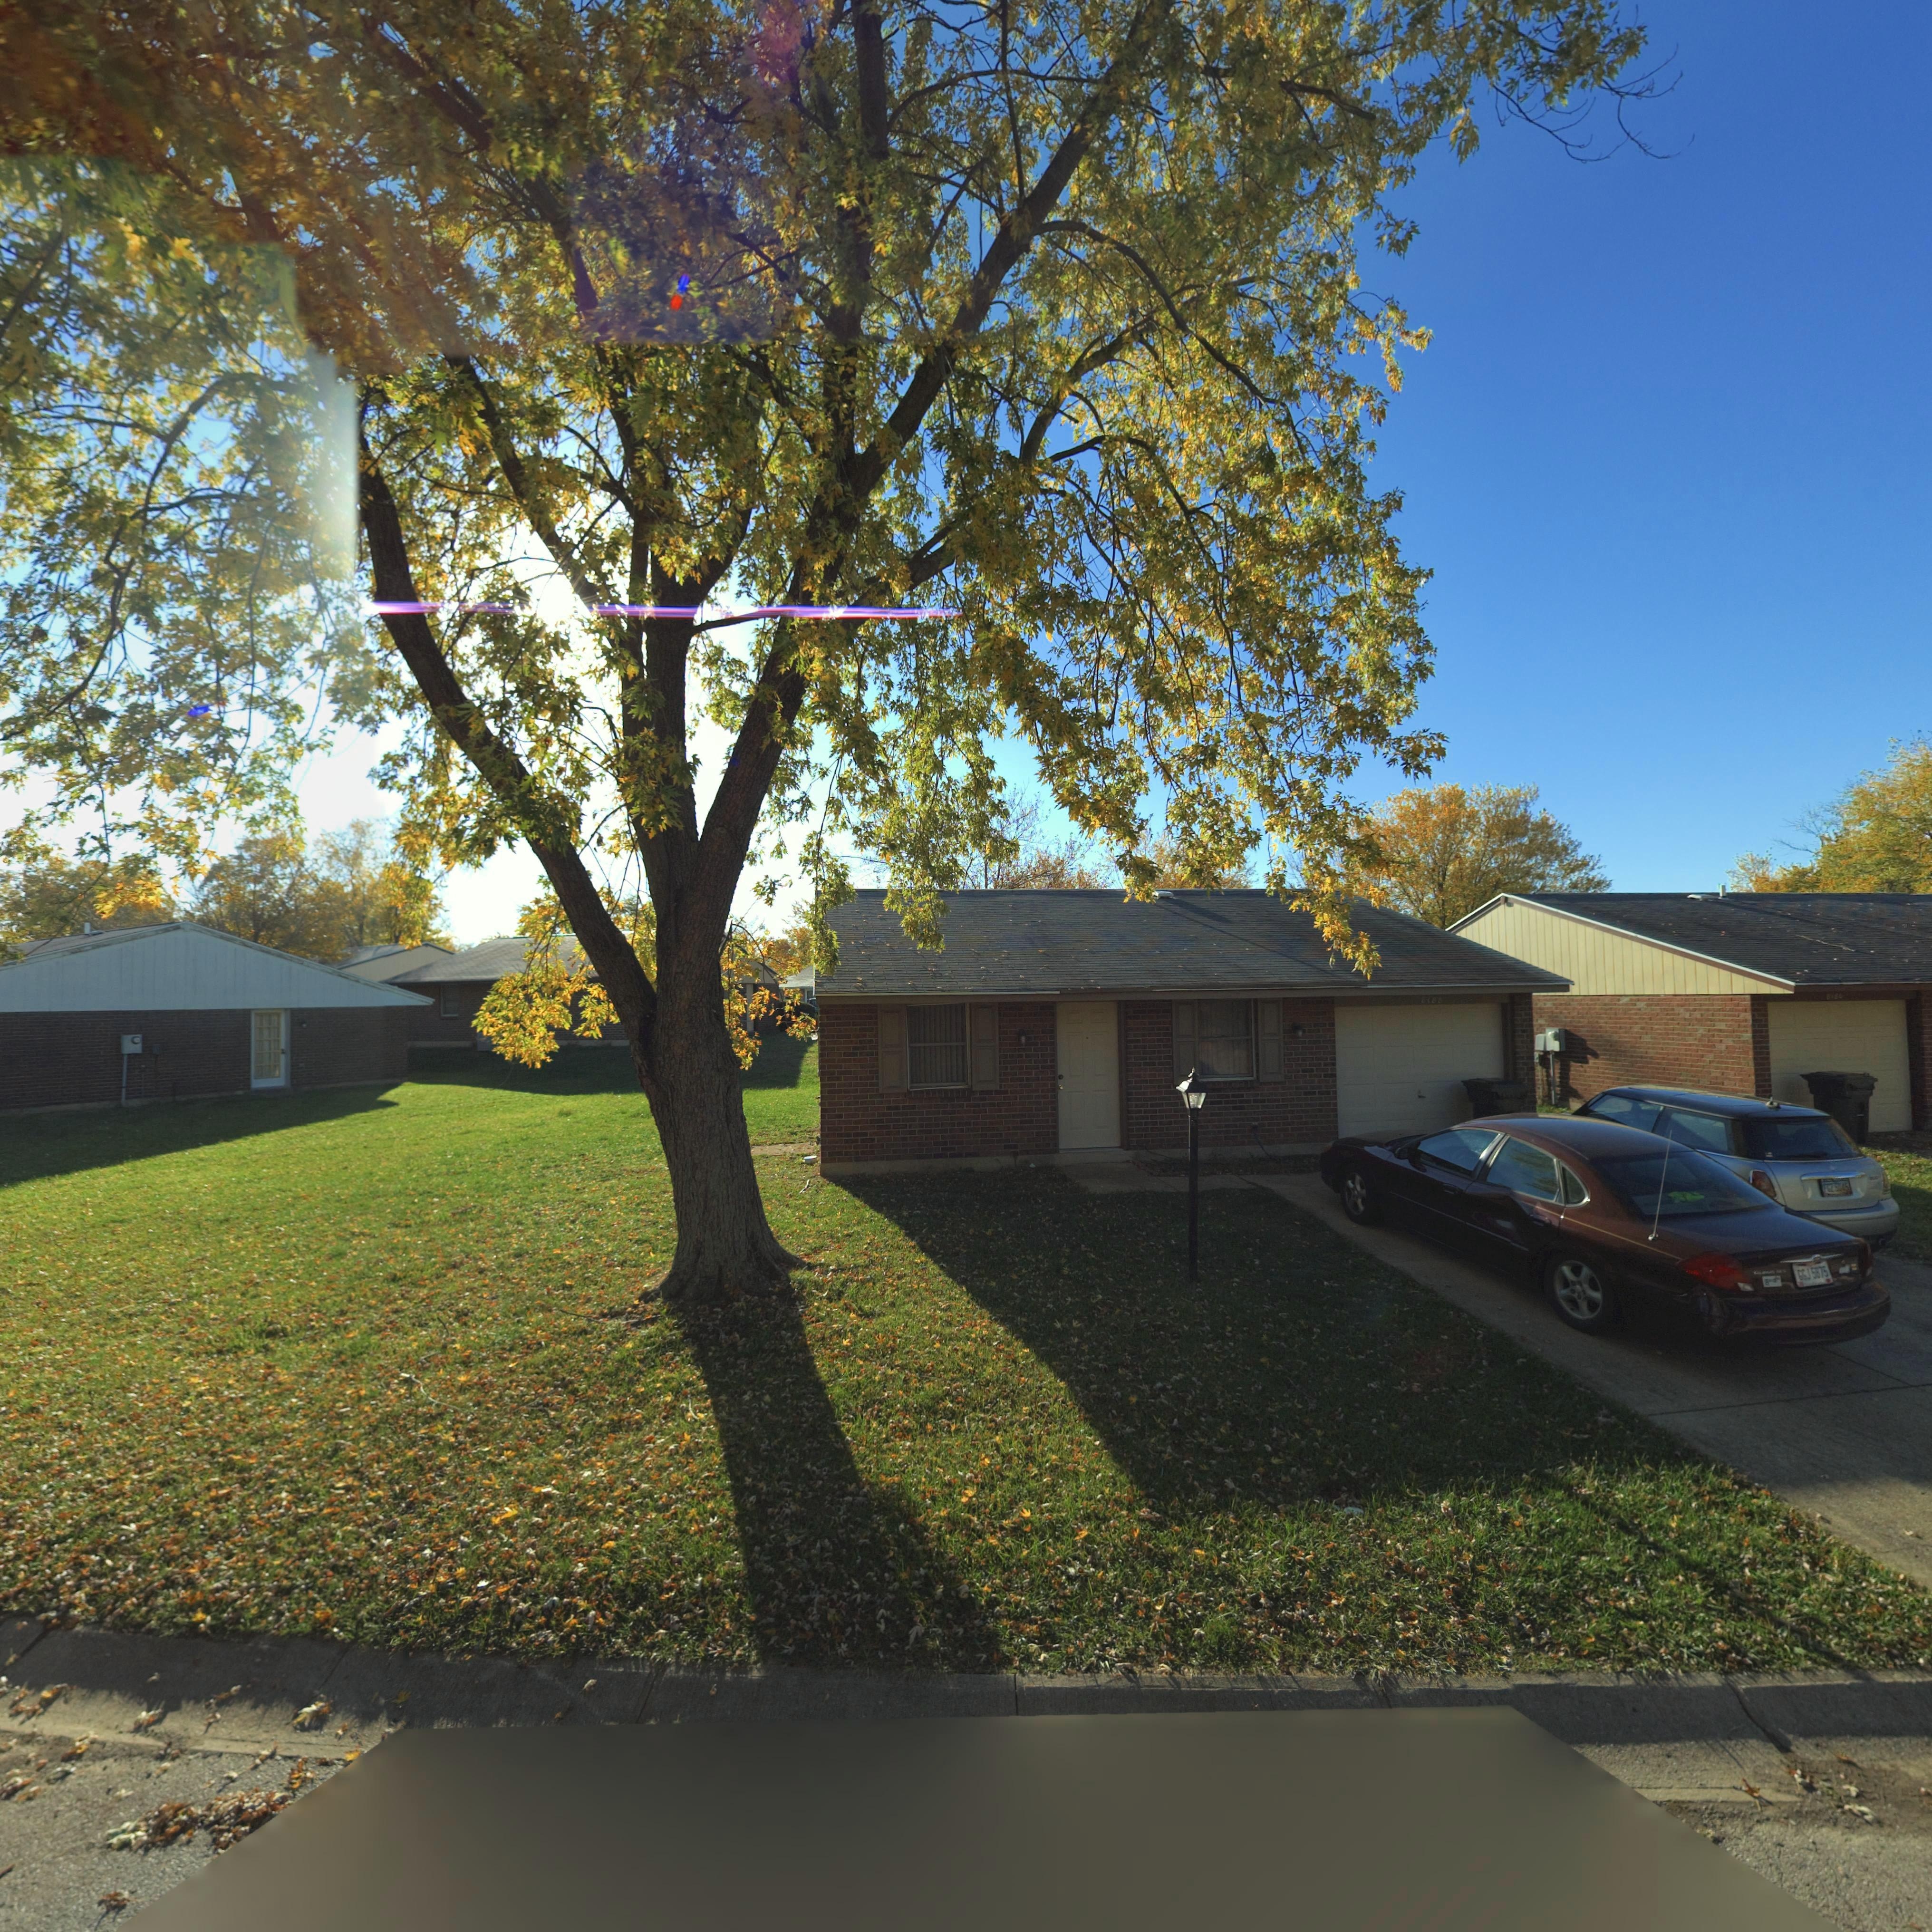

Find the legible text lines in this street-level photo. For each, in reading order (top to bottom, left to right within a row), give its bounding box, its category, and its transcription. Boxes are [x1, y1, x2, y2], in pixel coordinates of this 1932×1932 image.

[1420, 995, 1443, 1005] StreetNumber: 8188
[1826, 992, 1844, 1000] StreetNumber: 8180